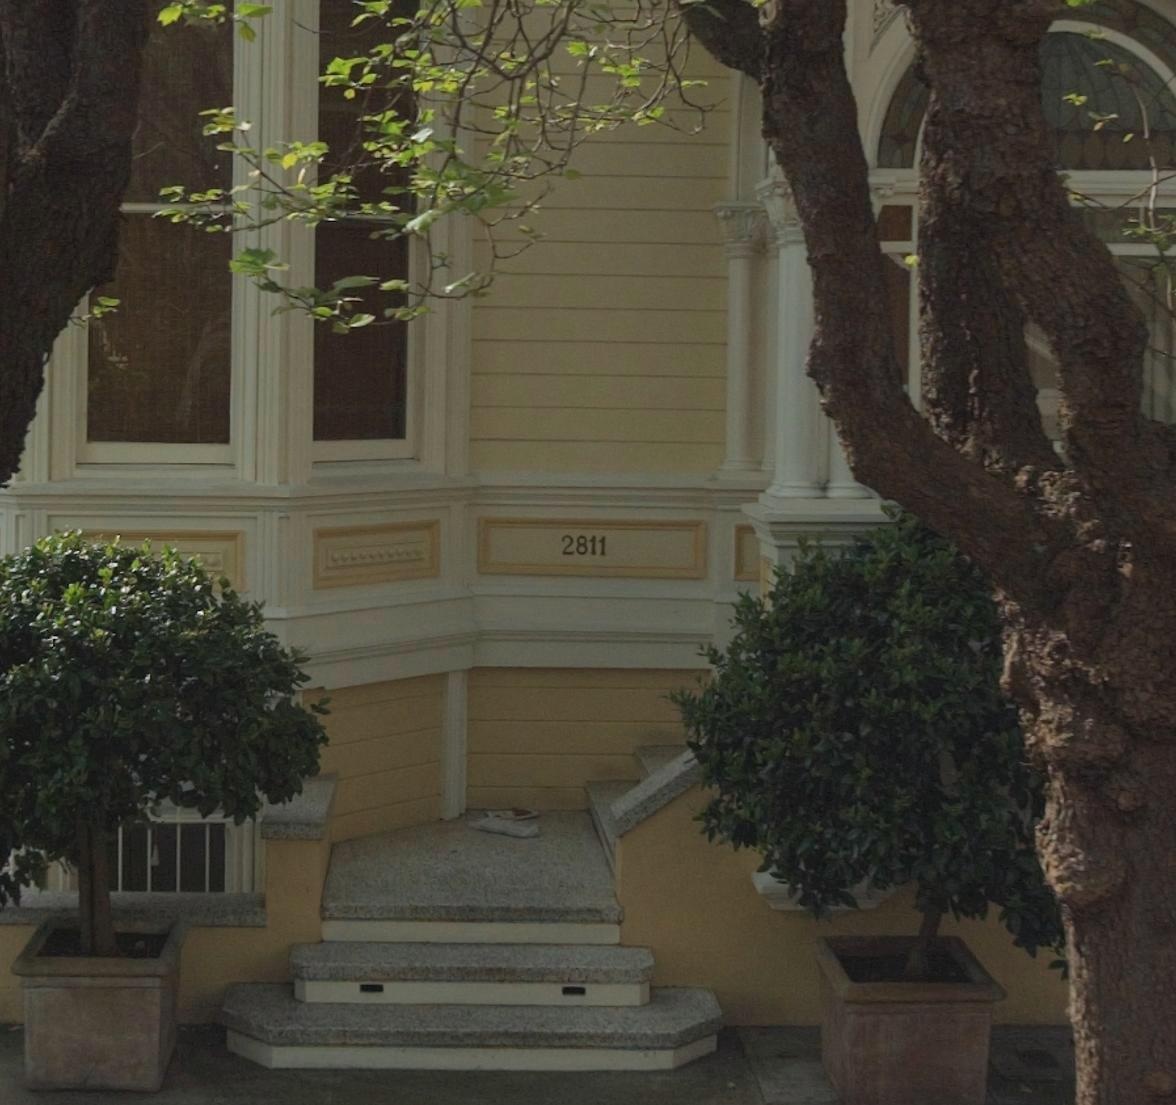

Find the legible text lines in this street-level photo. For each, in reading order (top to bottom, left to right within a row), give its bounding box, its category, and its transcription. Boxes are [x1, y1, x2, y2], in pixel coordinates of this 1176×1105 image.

[559, 532, 608, 557] StreetNumber: 2811